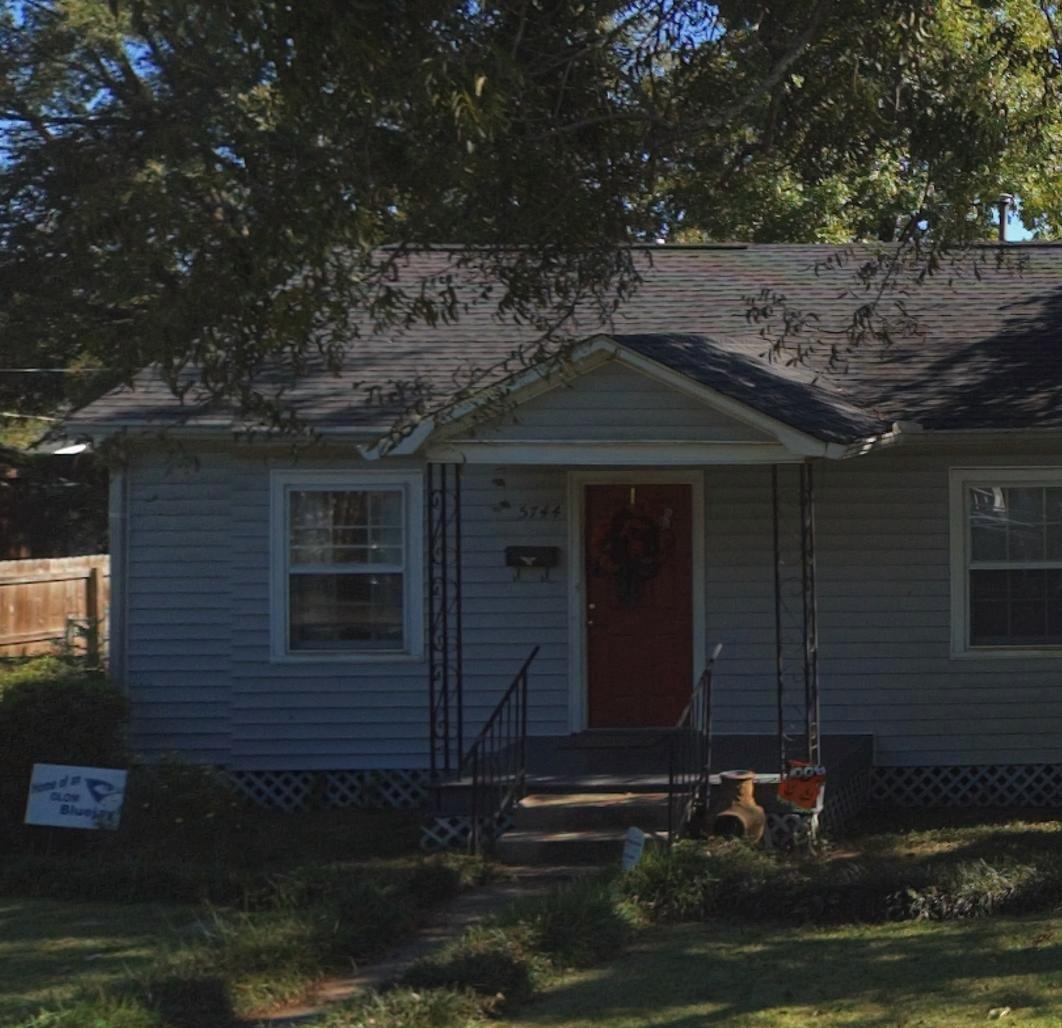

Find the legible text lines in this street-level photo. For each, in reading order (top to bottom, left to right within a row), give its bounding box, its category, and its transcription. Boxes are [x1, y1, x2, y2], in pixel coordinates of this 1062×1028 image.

[517, 504, 562, 520] StreetNumber: 5744
[29, 773, 83, 795] None: Home of an
[58, 803, 98, 821] None: Bluej